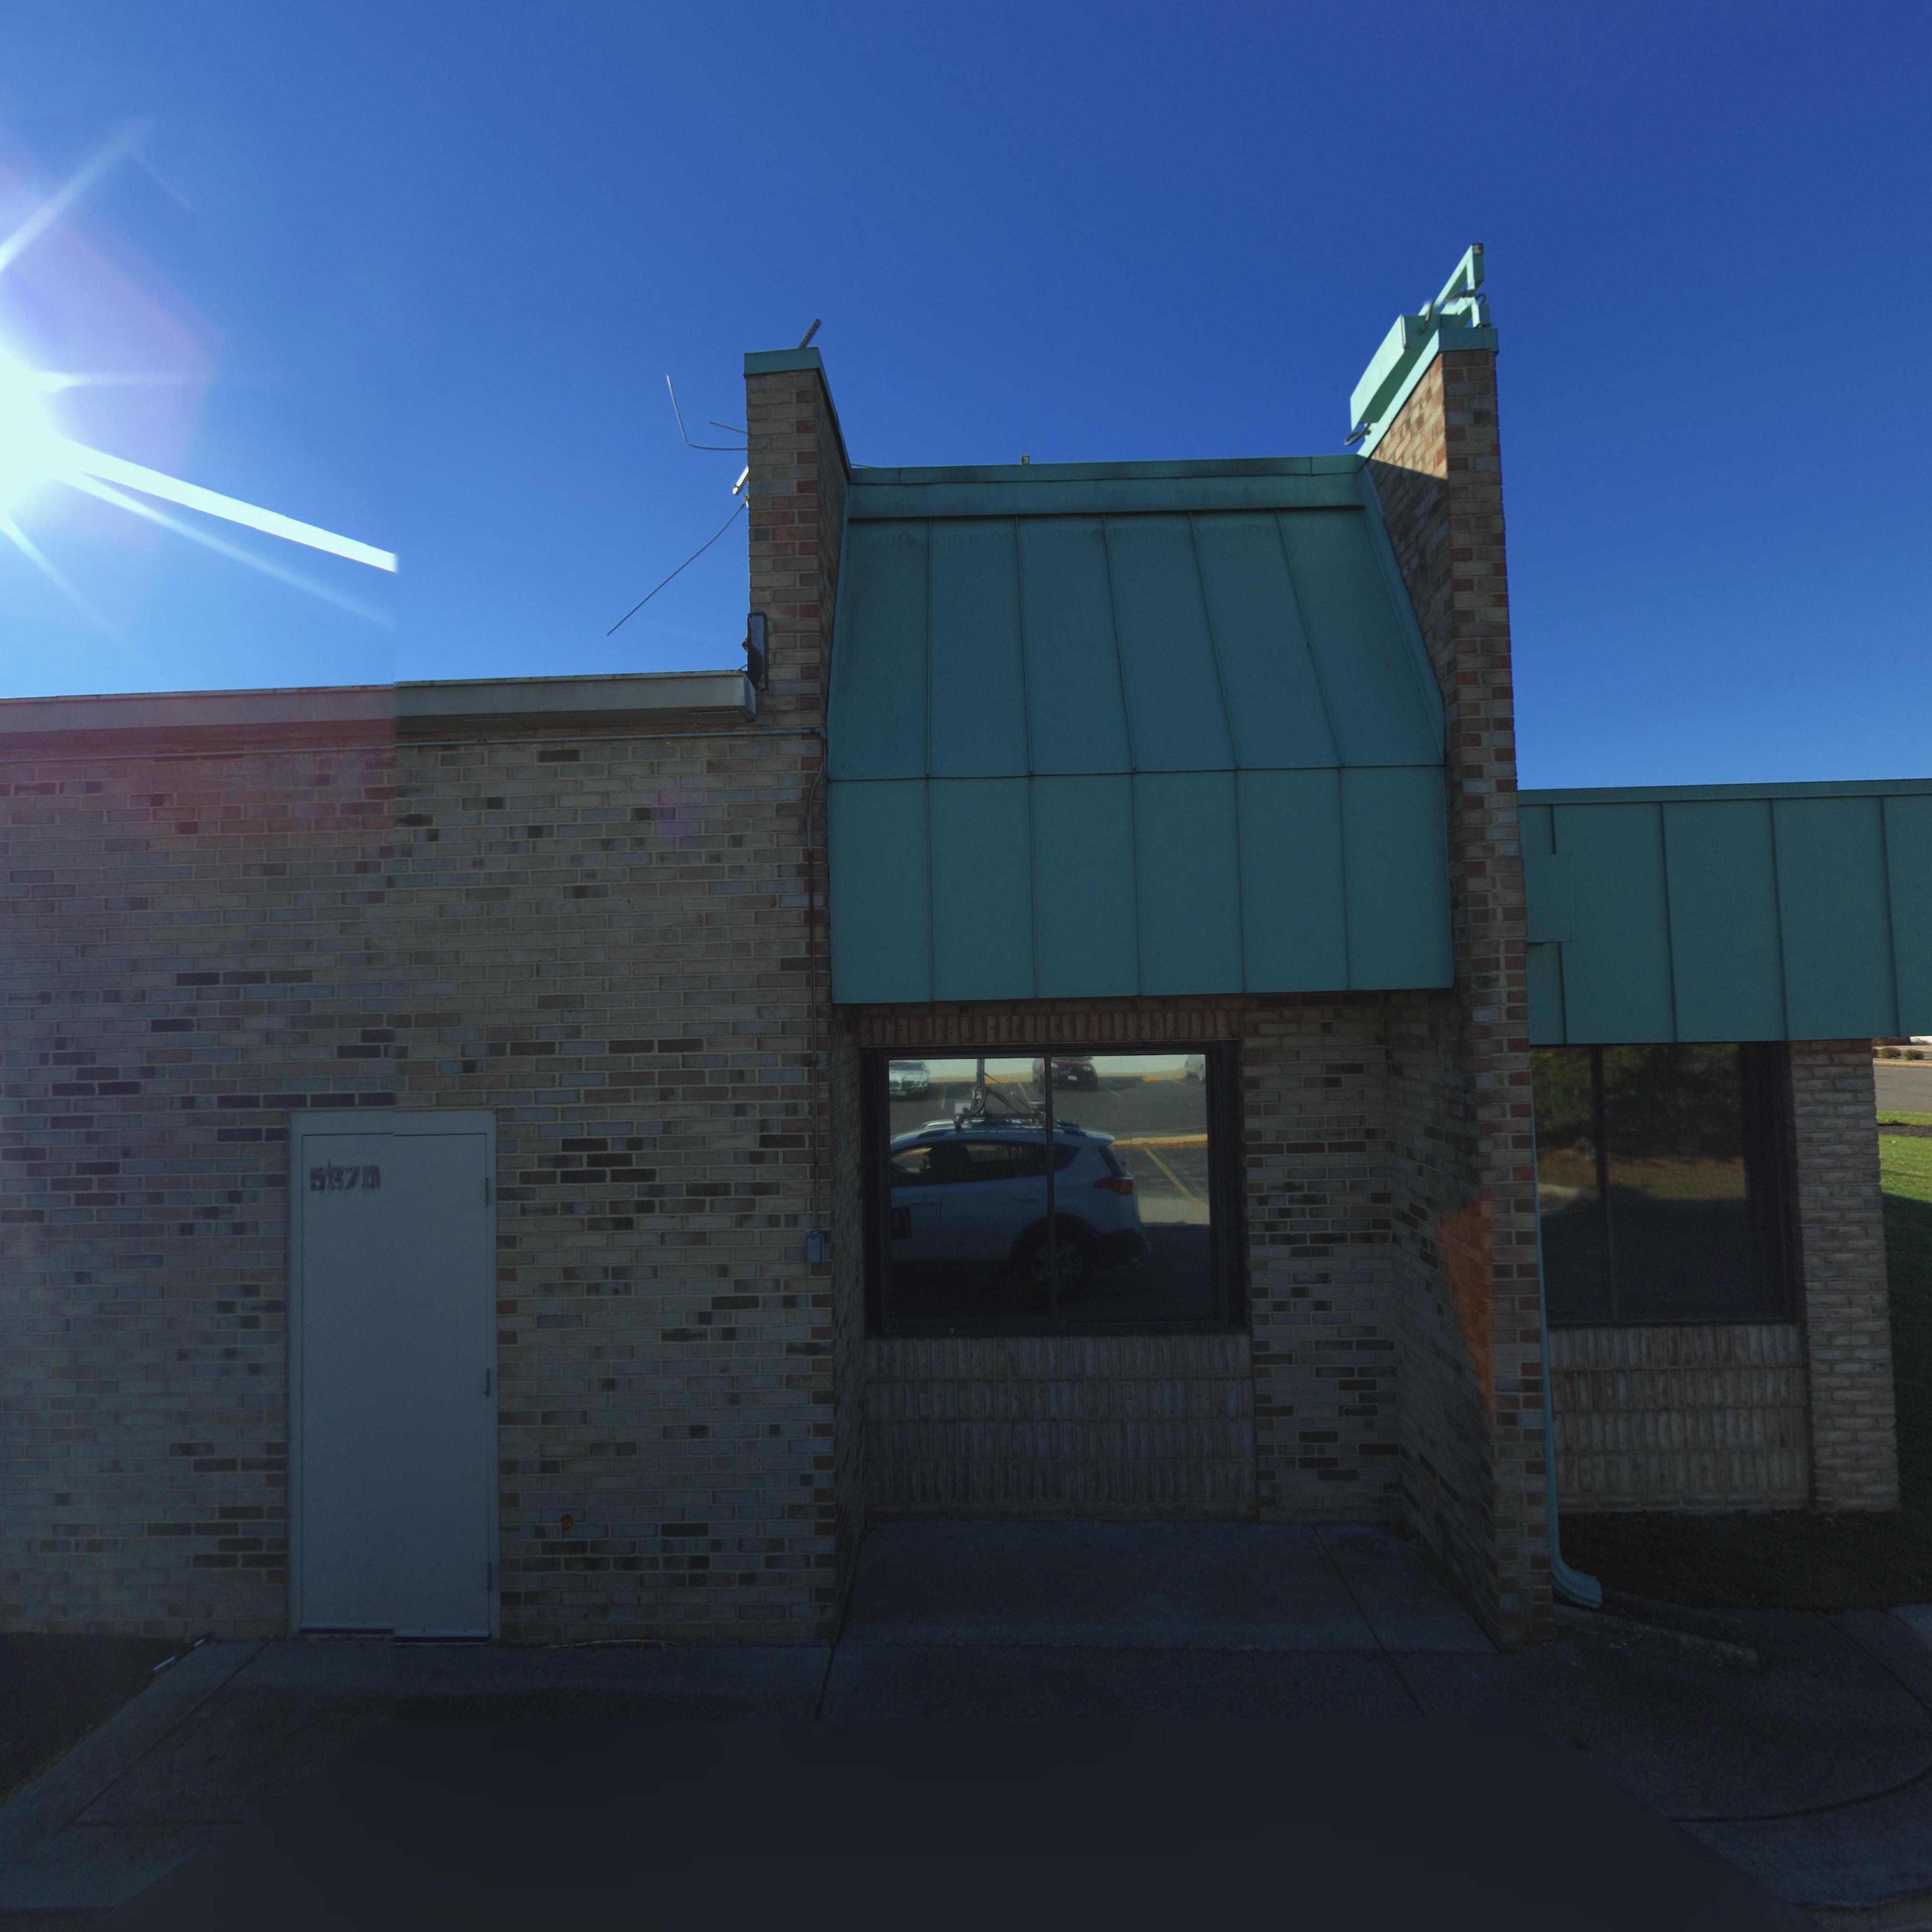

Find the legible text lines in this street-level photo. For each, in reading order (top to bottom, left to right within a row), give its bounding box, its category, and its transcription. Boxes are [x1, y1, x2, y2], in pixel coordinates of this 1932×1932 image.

[309, 1163, 383, 1193] StreetNumber: 5*70